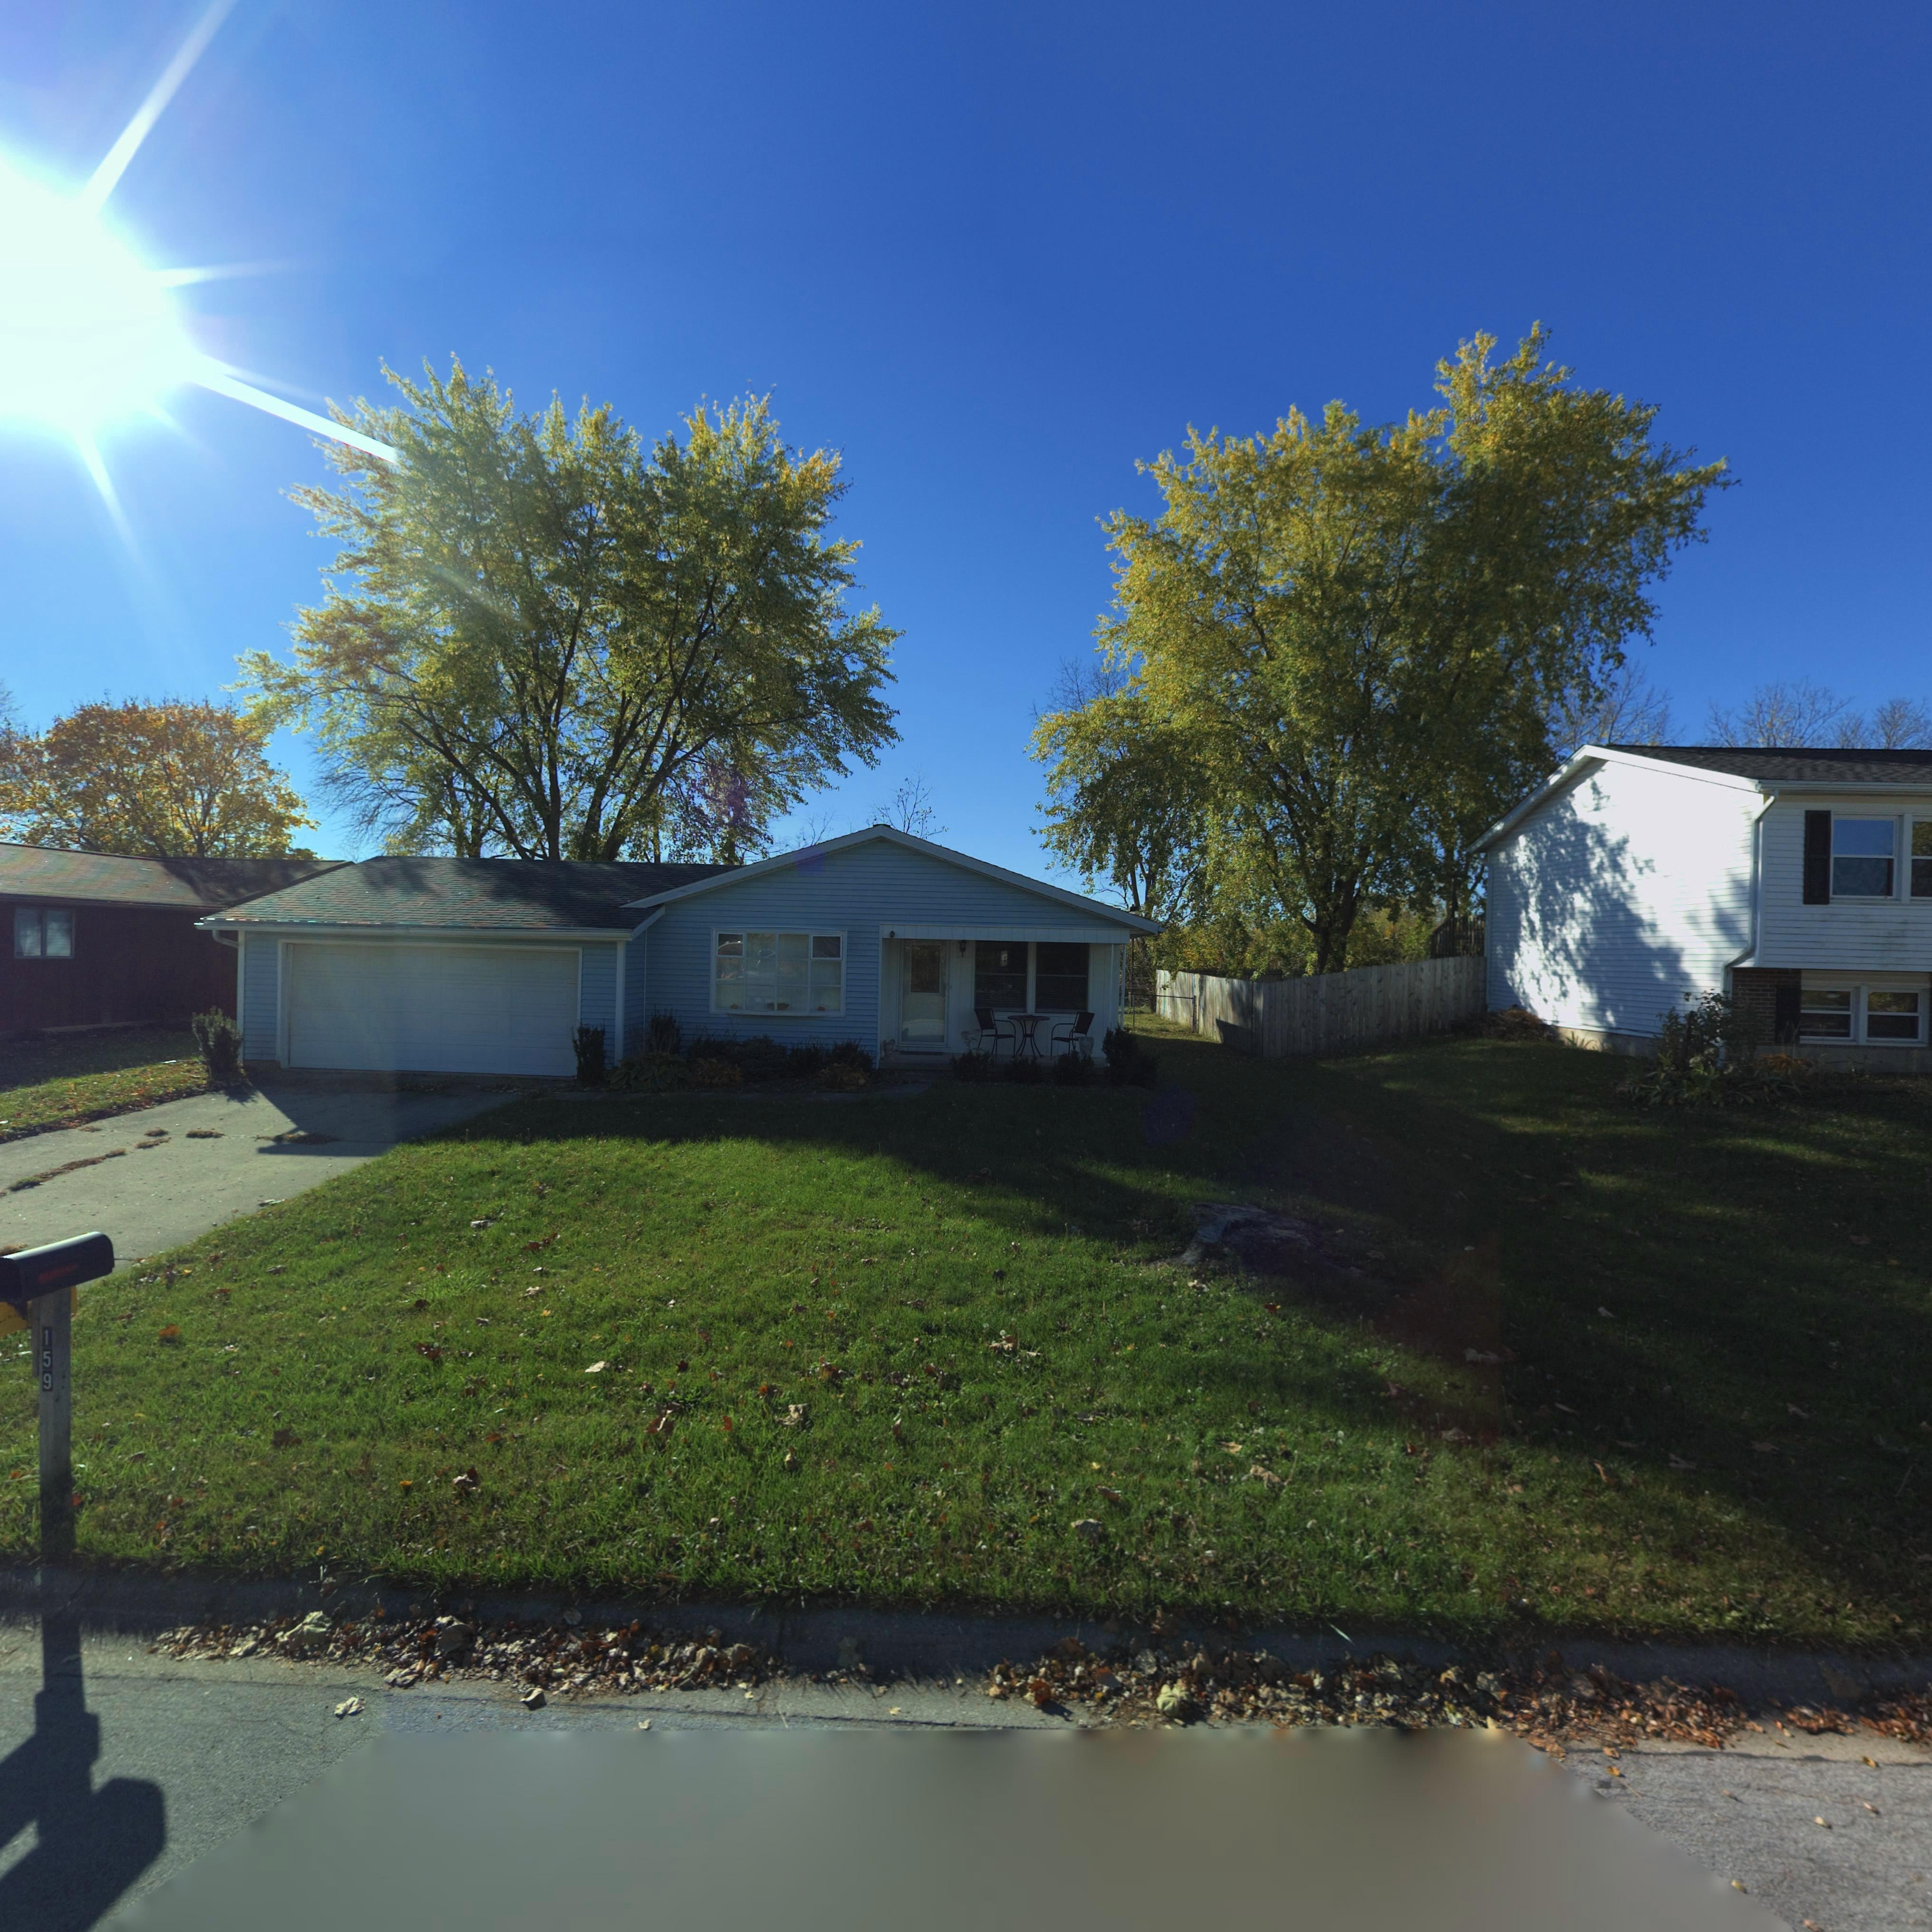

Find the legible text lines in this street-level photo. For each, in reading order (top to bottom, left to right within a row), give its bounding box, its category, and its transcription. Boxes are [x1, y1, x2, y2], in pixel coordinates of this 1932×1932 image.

[41, 1326, 53, 1391] StreetNumber: 159